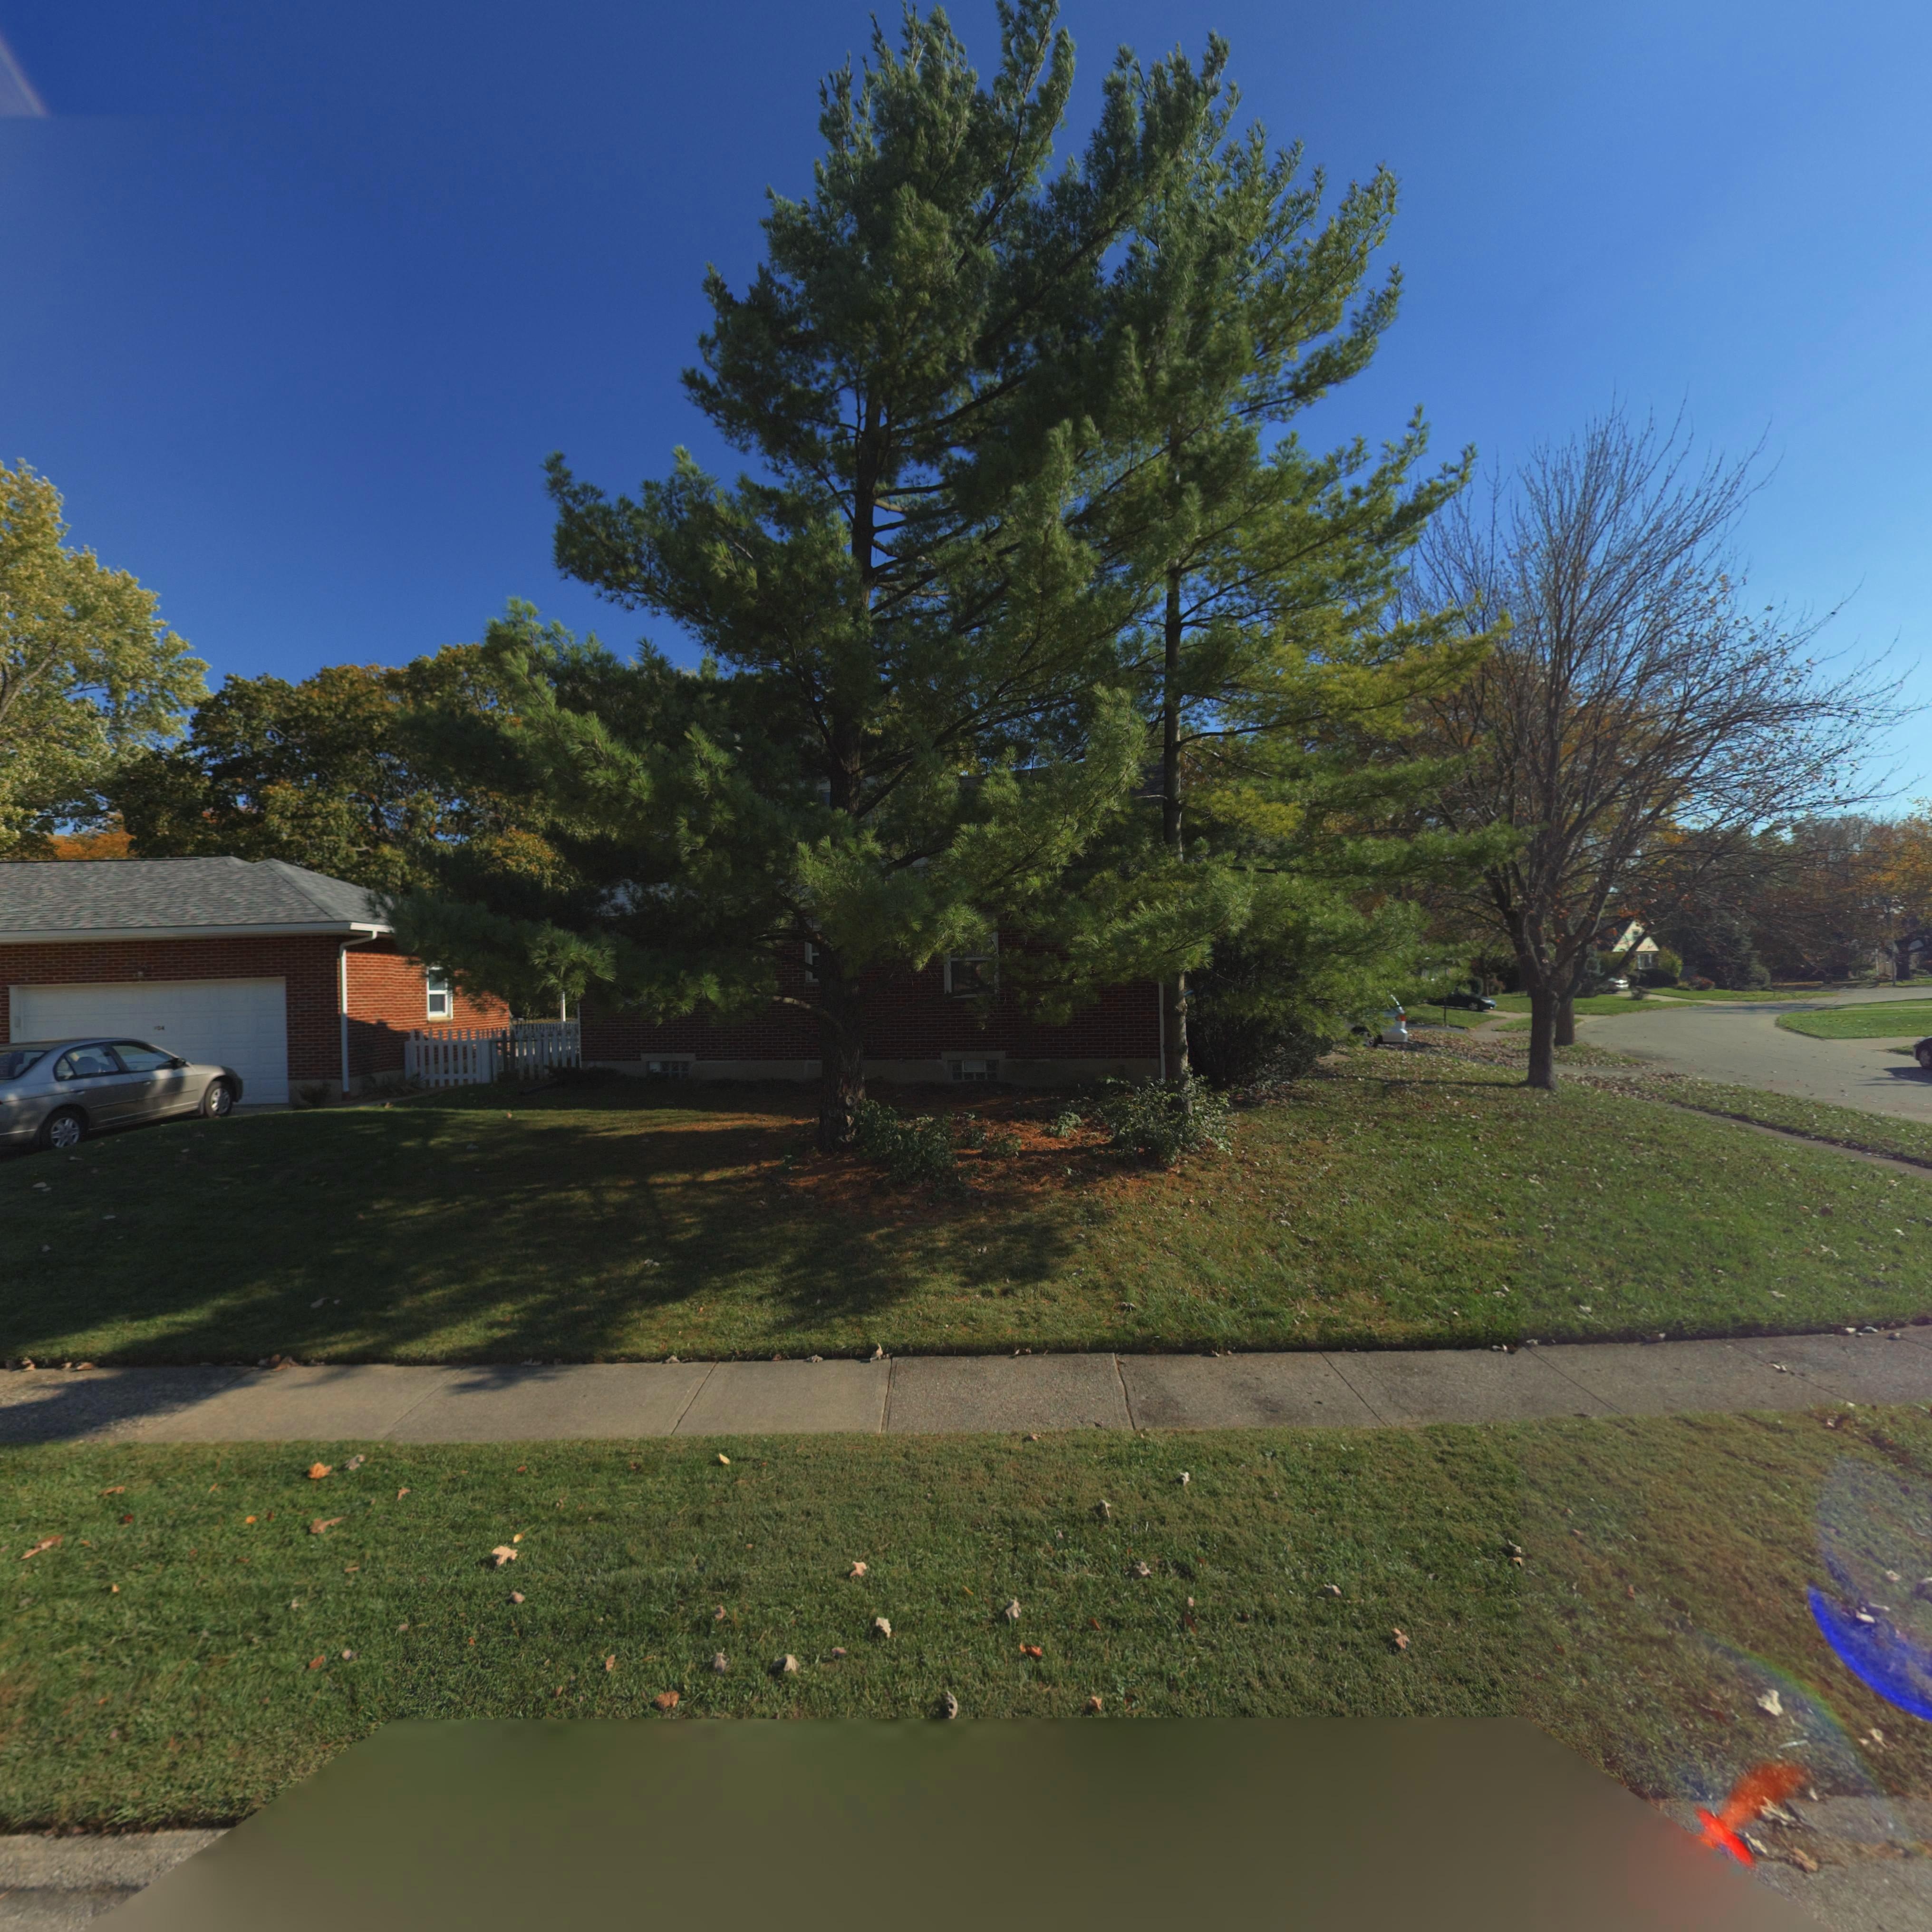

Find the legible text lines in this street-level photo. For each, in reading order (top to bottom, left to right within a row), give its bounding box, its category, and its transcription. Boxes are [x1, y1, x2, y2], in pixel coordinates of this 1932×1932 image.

[153, 1025, 165, 1031] StreetNumber: 704